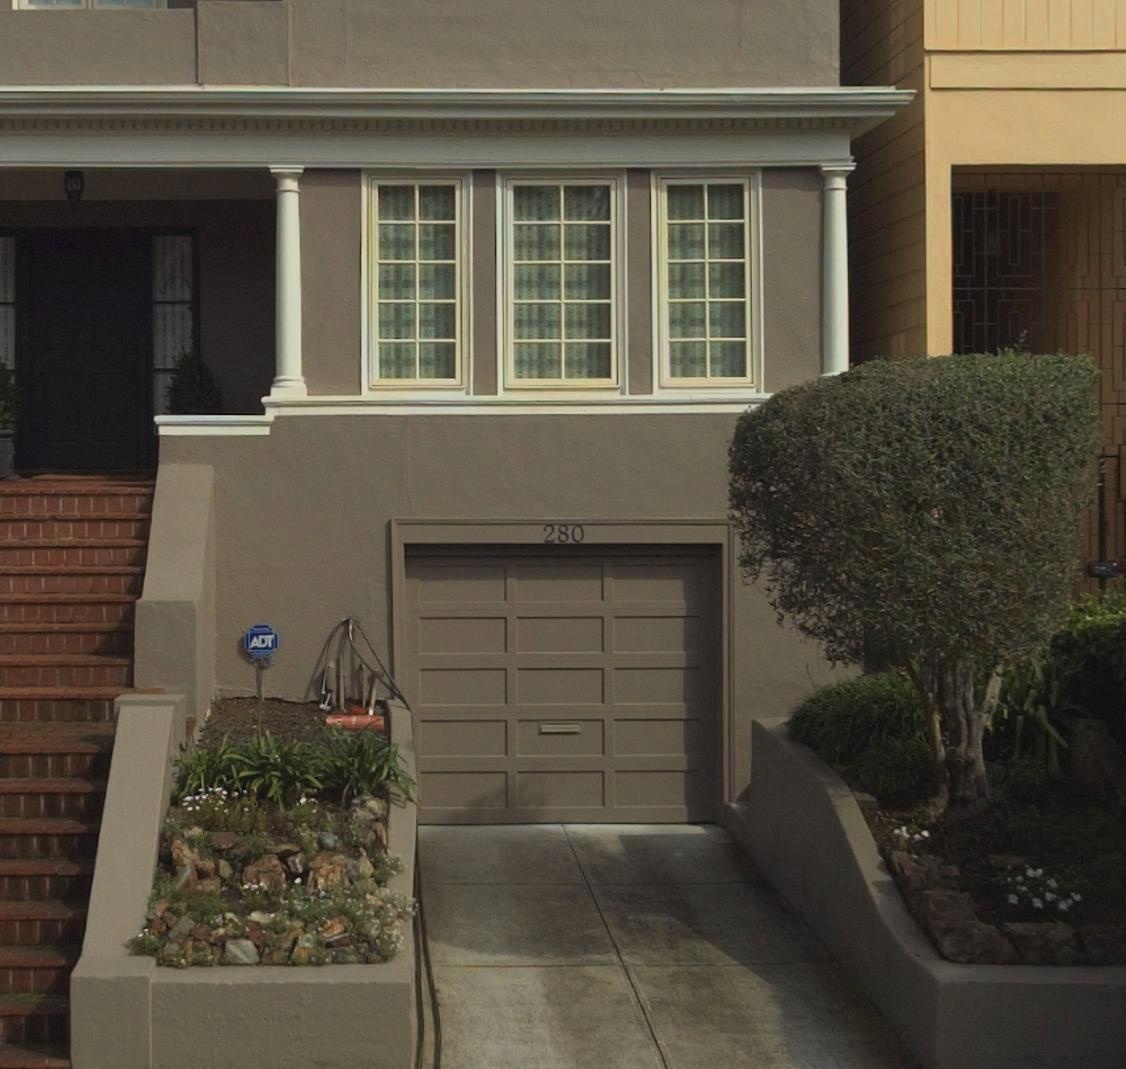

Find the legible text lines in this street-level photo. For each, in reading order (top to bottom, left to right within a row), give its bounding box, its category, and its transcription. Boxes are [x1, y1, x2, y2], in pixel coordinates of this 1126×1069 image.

[542, 523, 586, 544] StreetNumber: 280
[247, 634, 276, 649] None: ADT